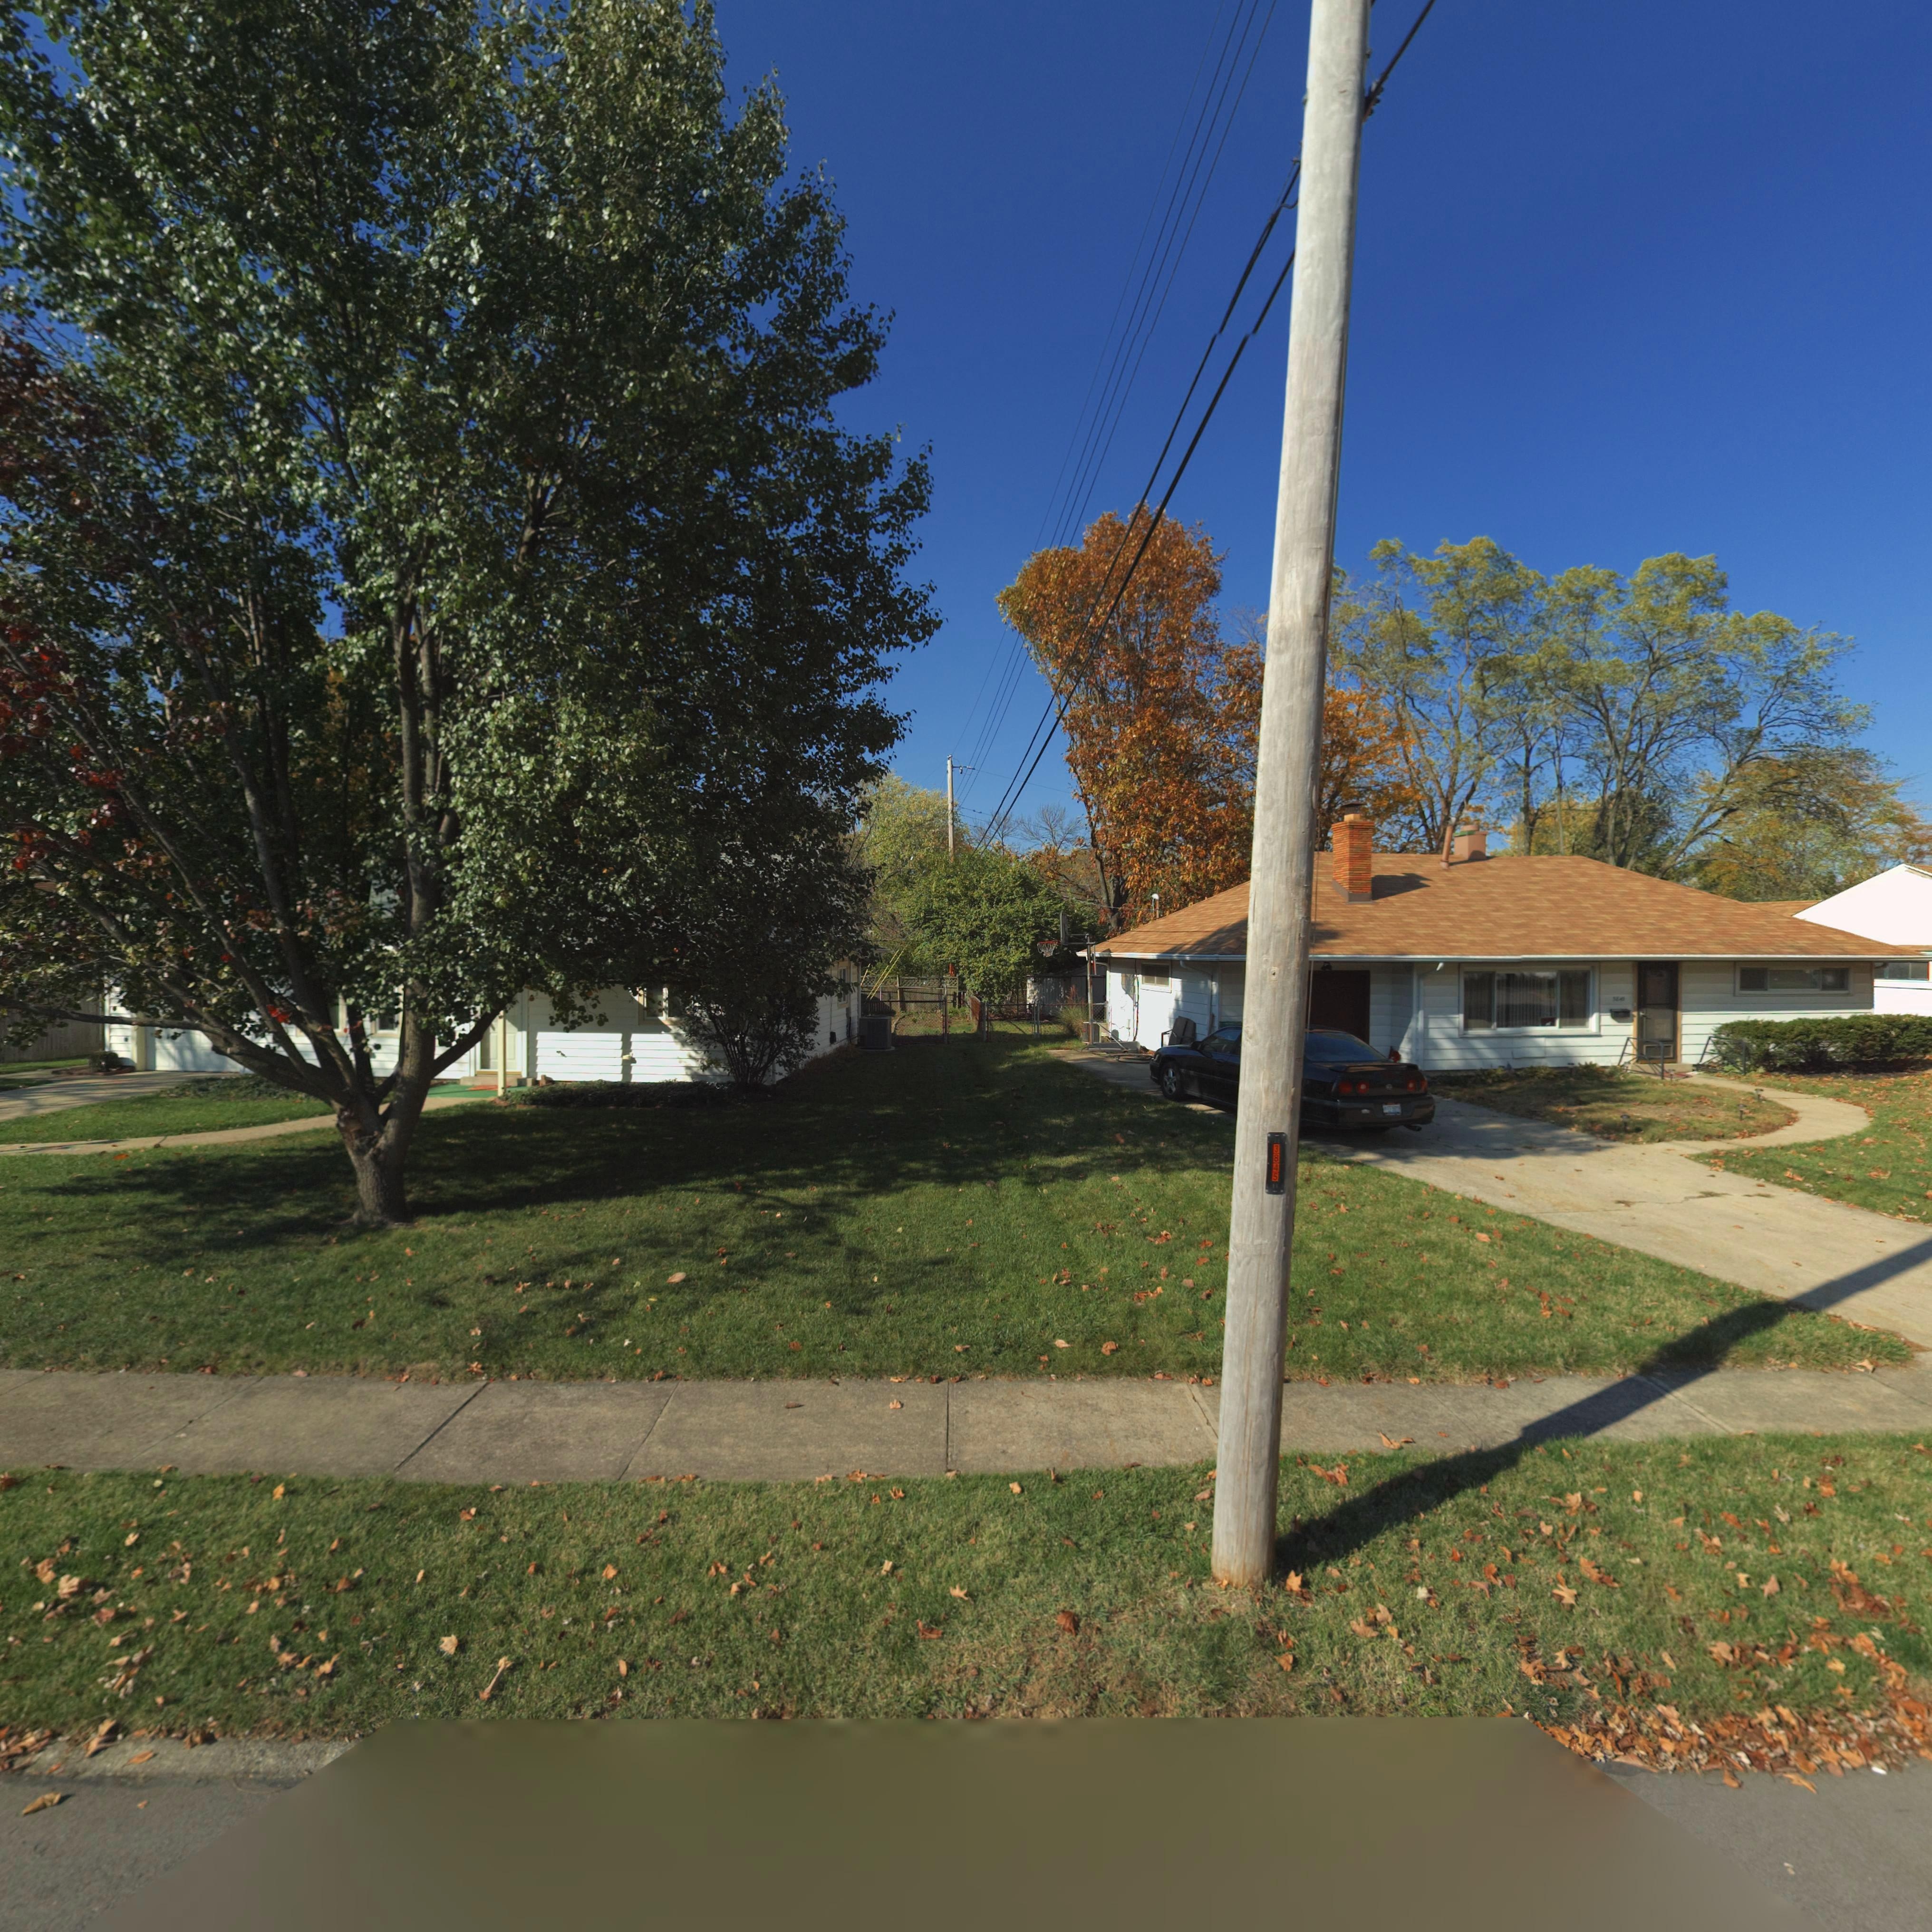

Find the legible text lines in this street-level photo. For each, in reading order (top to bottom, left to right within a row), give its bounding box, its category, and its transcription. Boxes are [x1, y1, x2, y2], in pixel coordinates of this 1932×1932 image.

[1272, 1144, 1280, 1182] None: 3845